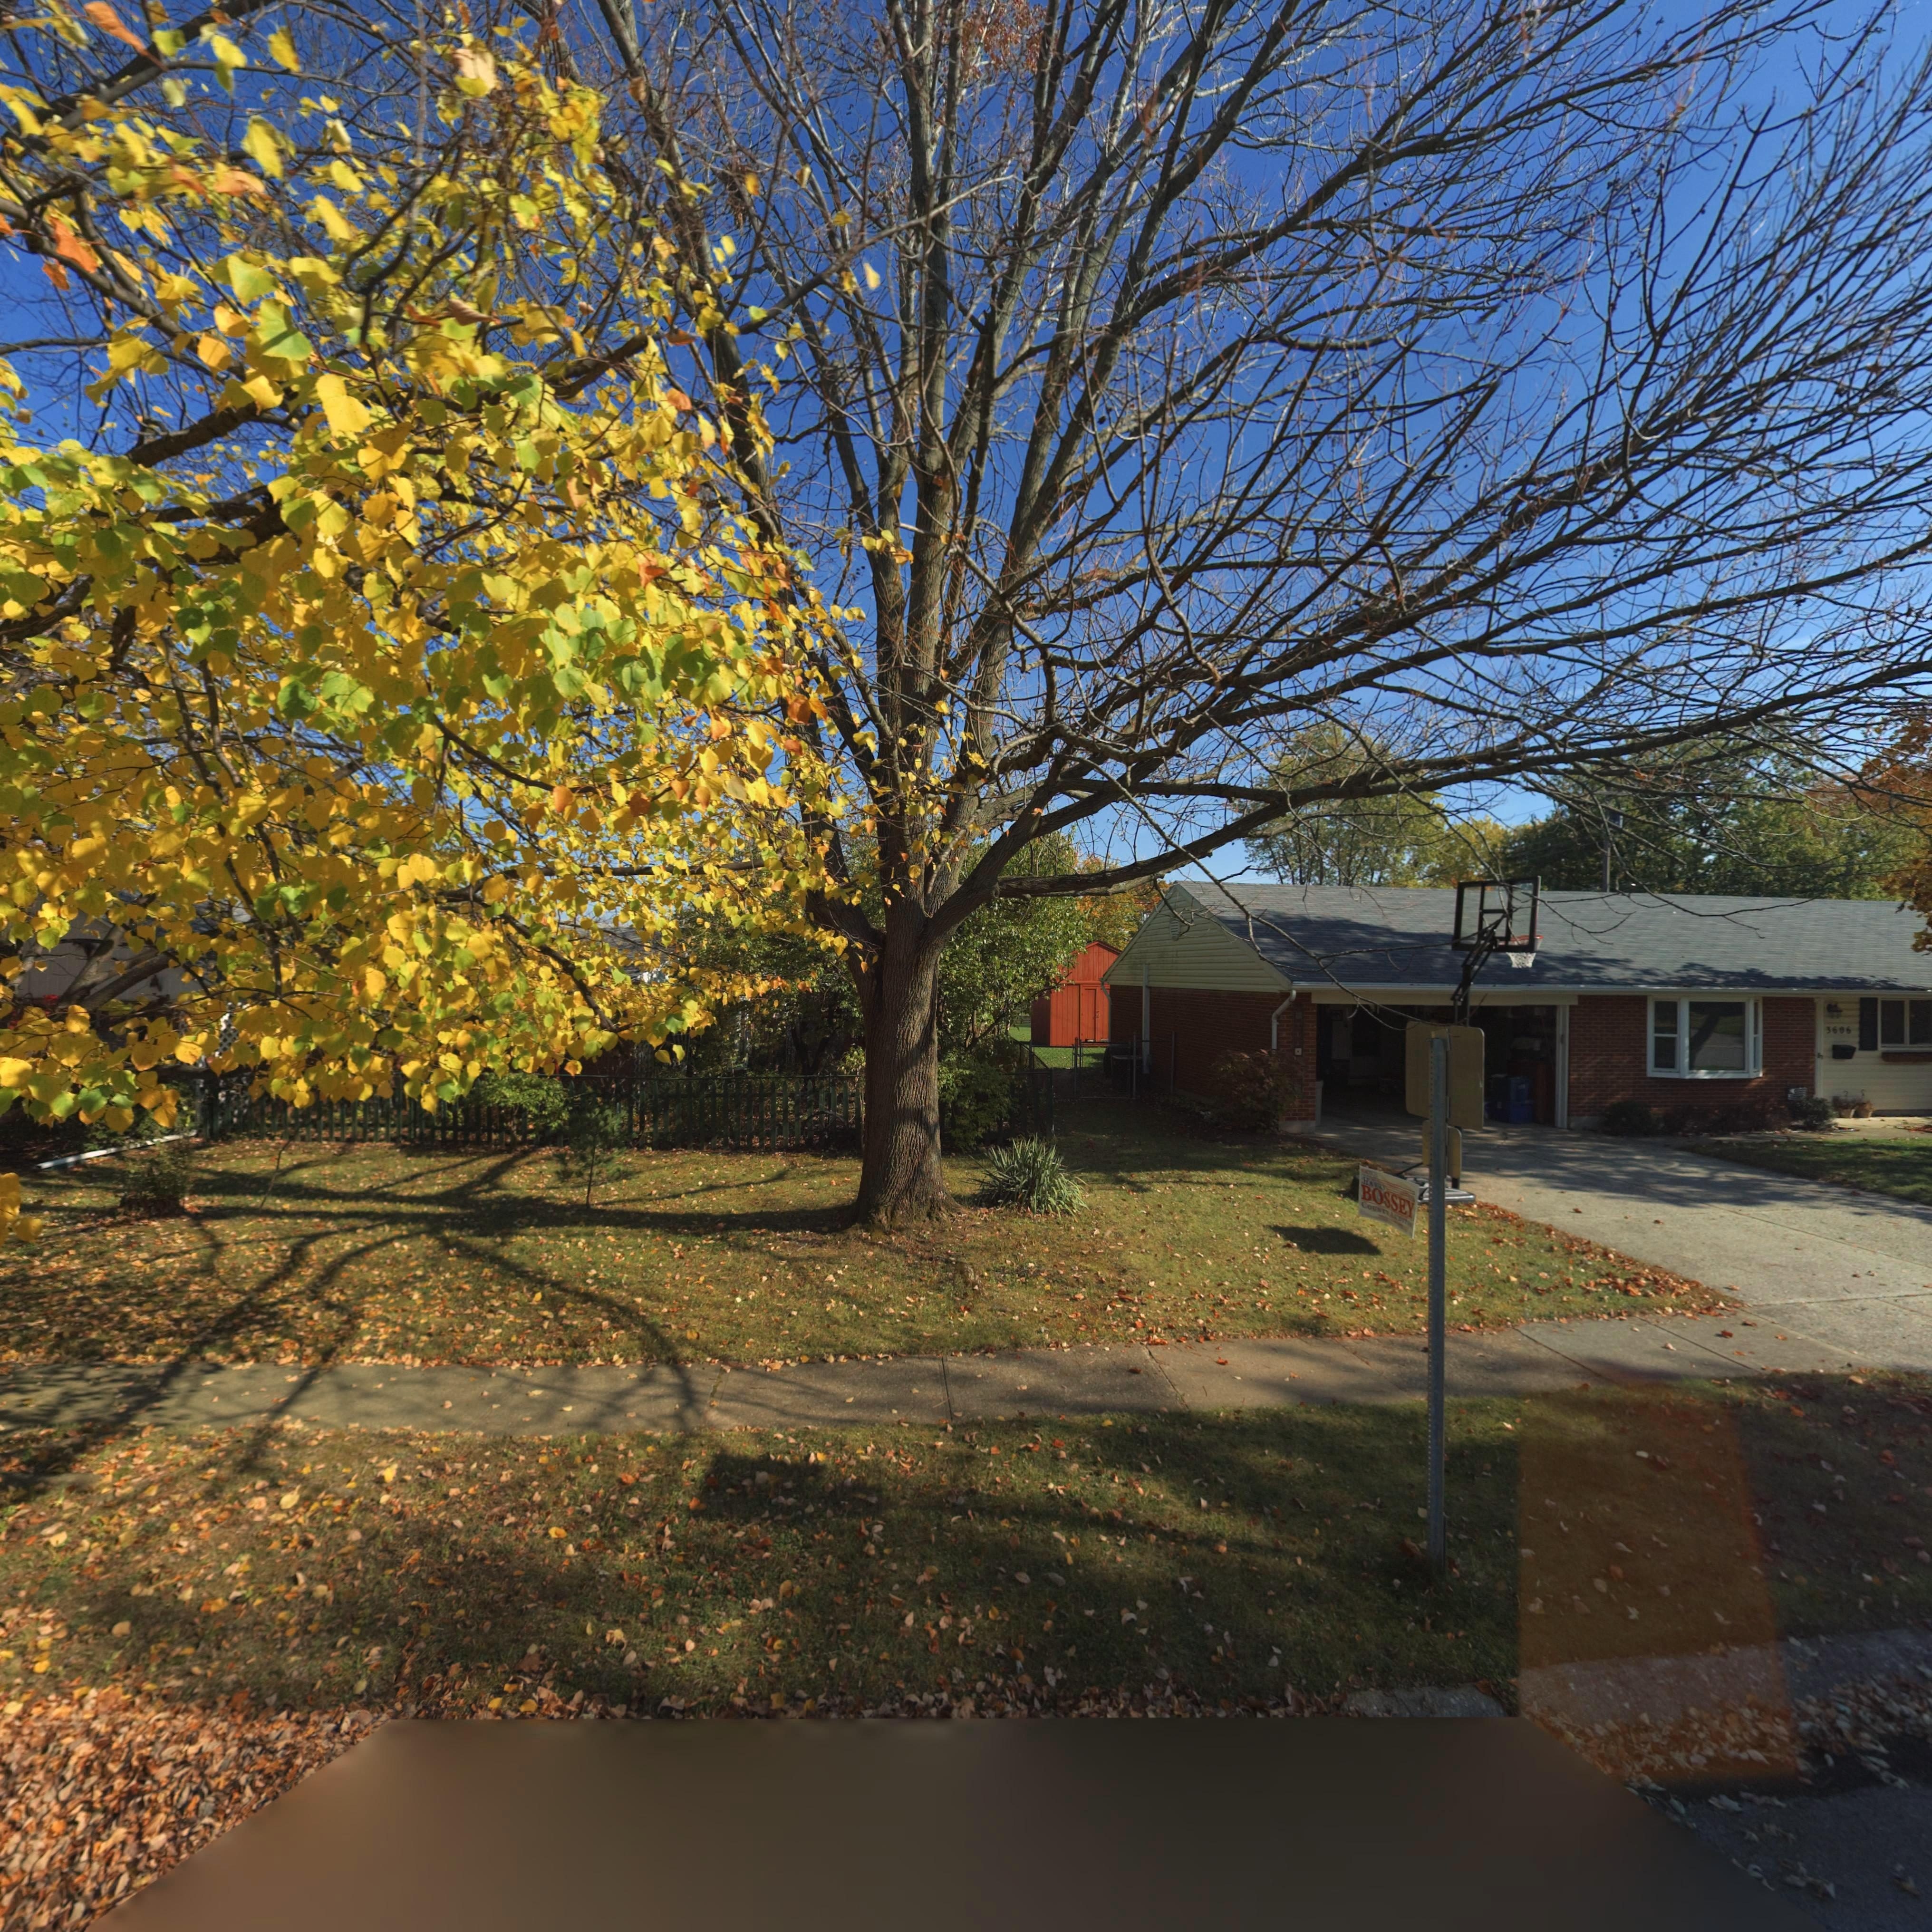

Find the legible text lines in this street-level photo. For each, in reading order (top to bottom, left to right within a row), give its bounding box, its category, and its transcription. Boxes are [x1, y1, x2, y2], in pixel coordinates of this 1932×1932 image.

[1825, 1025, 1852, 1034] StreetNumber: 3606
[1363, 1176, 1386, 1191] None: HARRY
[1361, 1201, 1413, 1227] None: COUNTY AUDITOR
[1361, 1183, 1415, 1219] None: BOSSEY